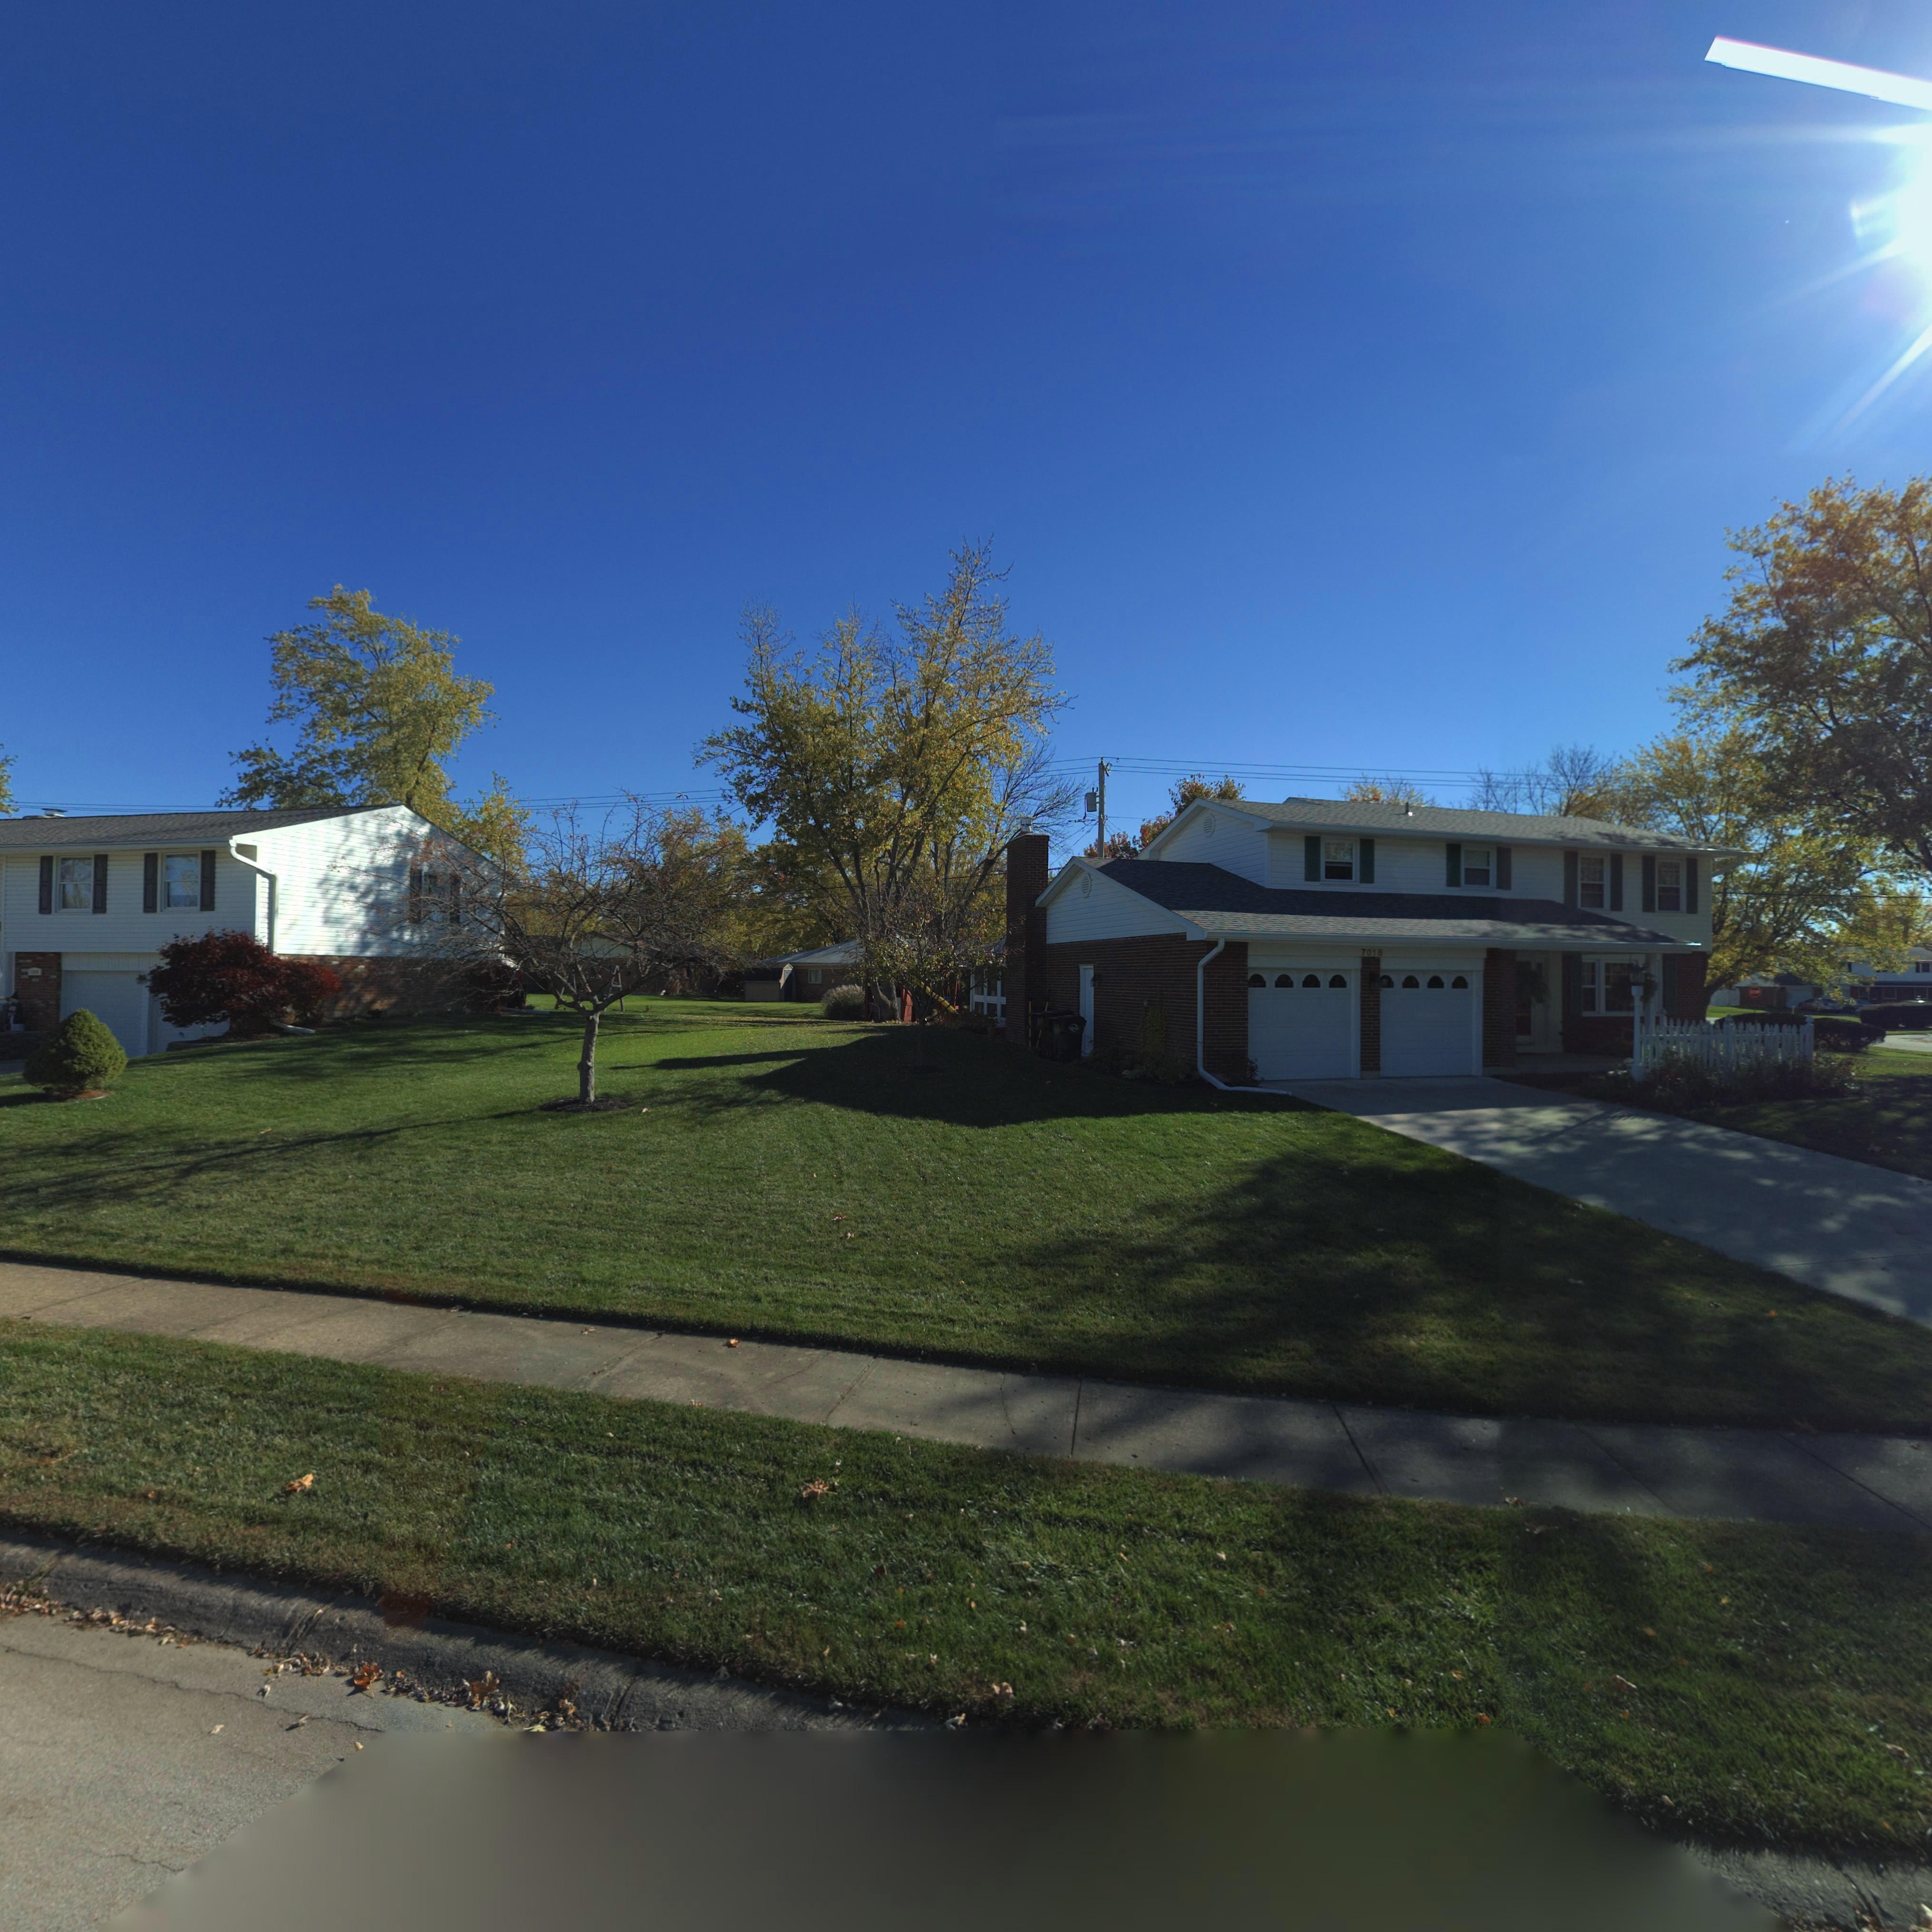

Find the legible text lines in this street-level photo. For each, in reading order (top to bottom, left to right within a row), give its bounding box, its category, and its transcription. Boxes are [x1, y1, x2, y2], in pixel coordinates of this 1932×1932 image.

[1360, 947, 1384, 957] StreetNumber: 7018